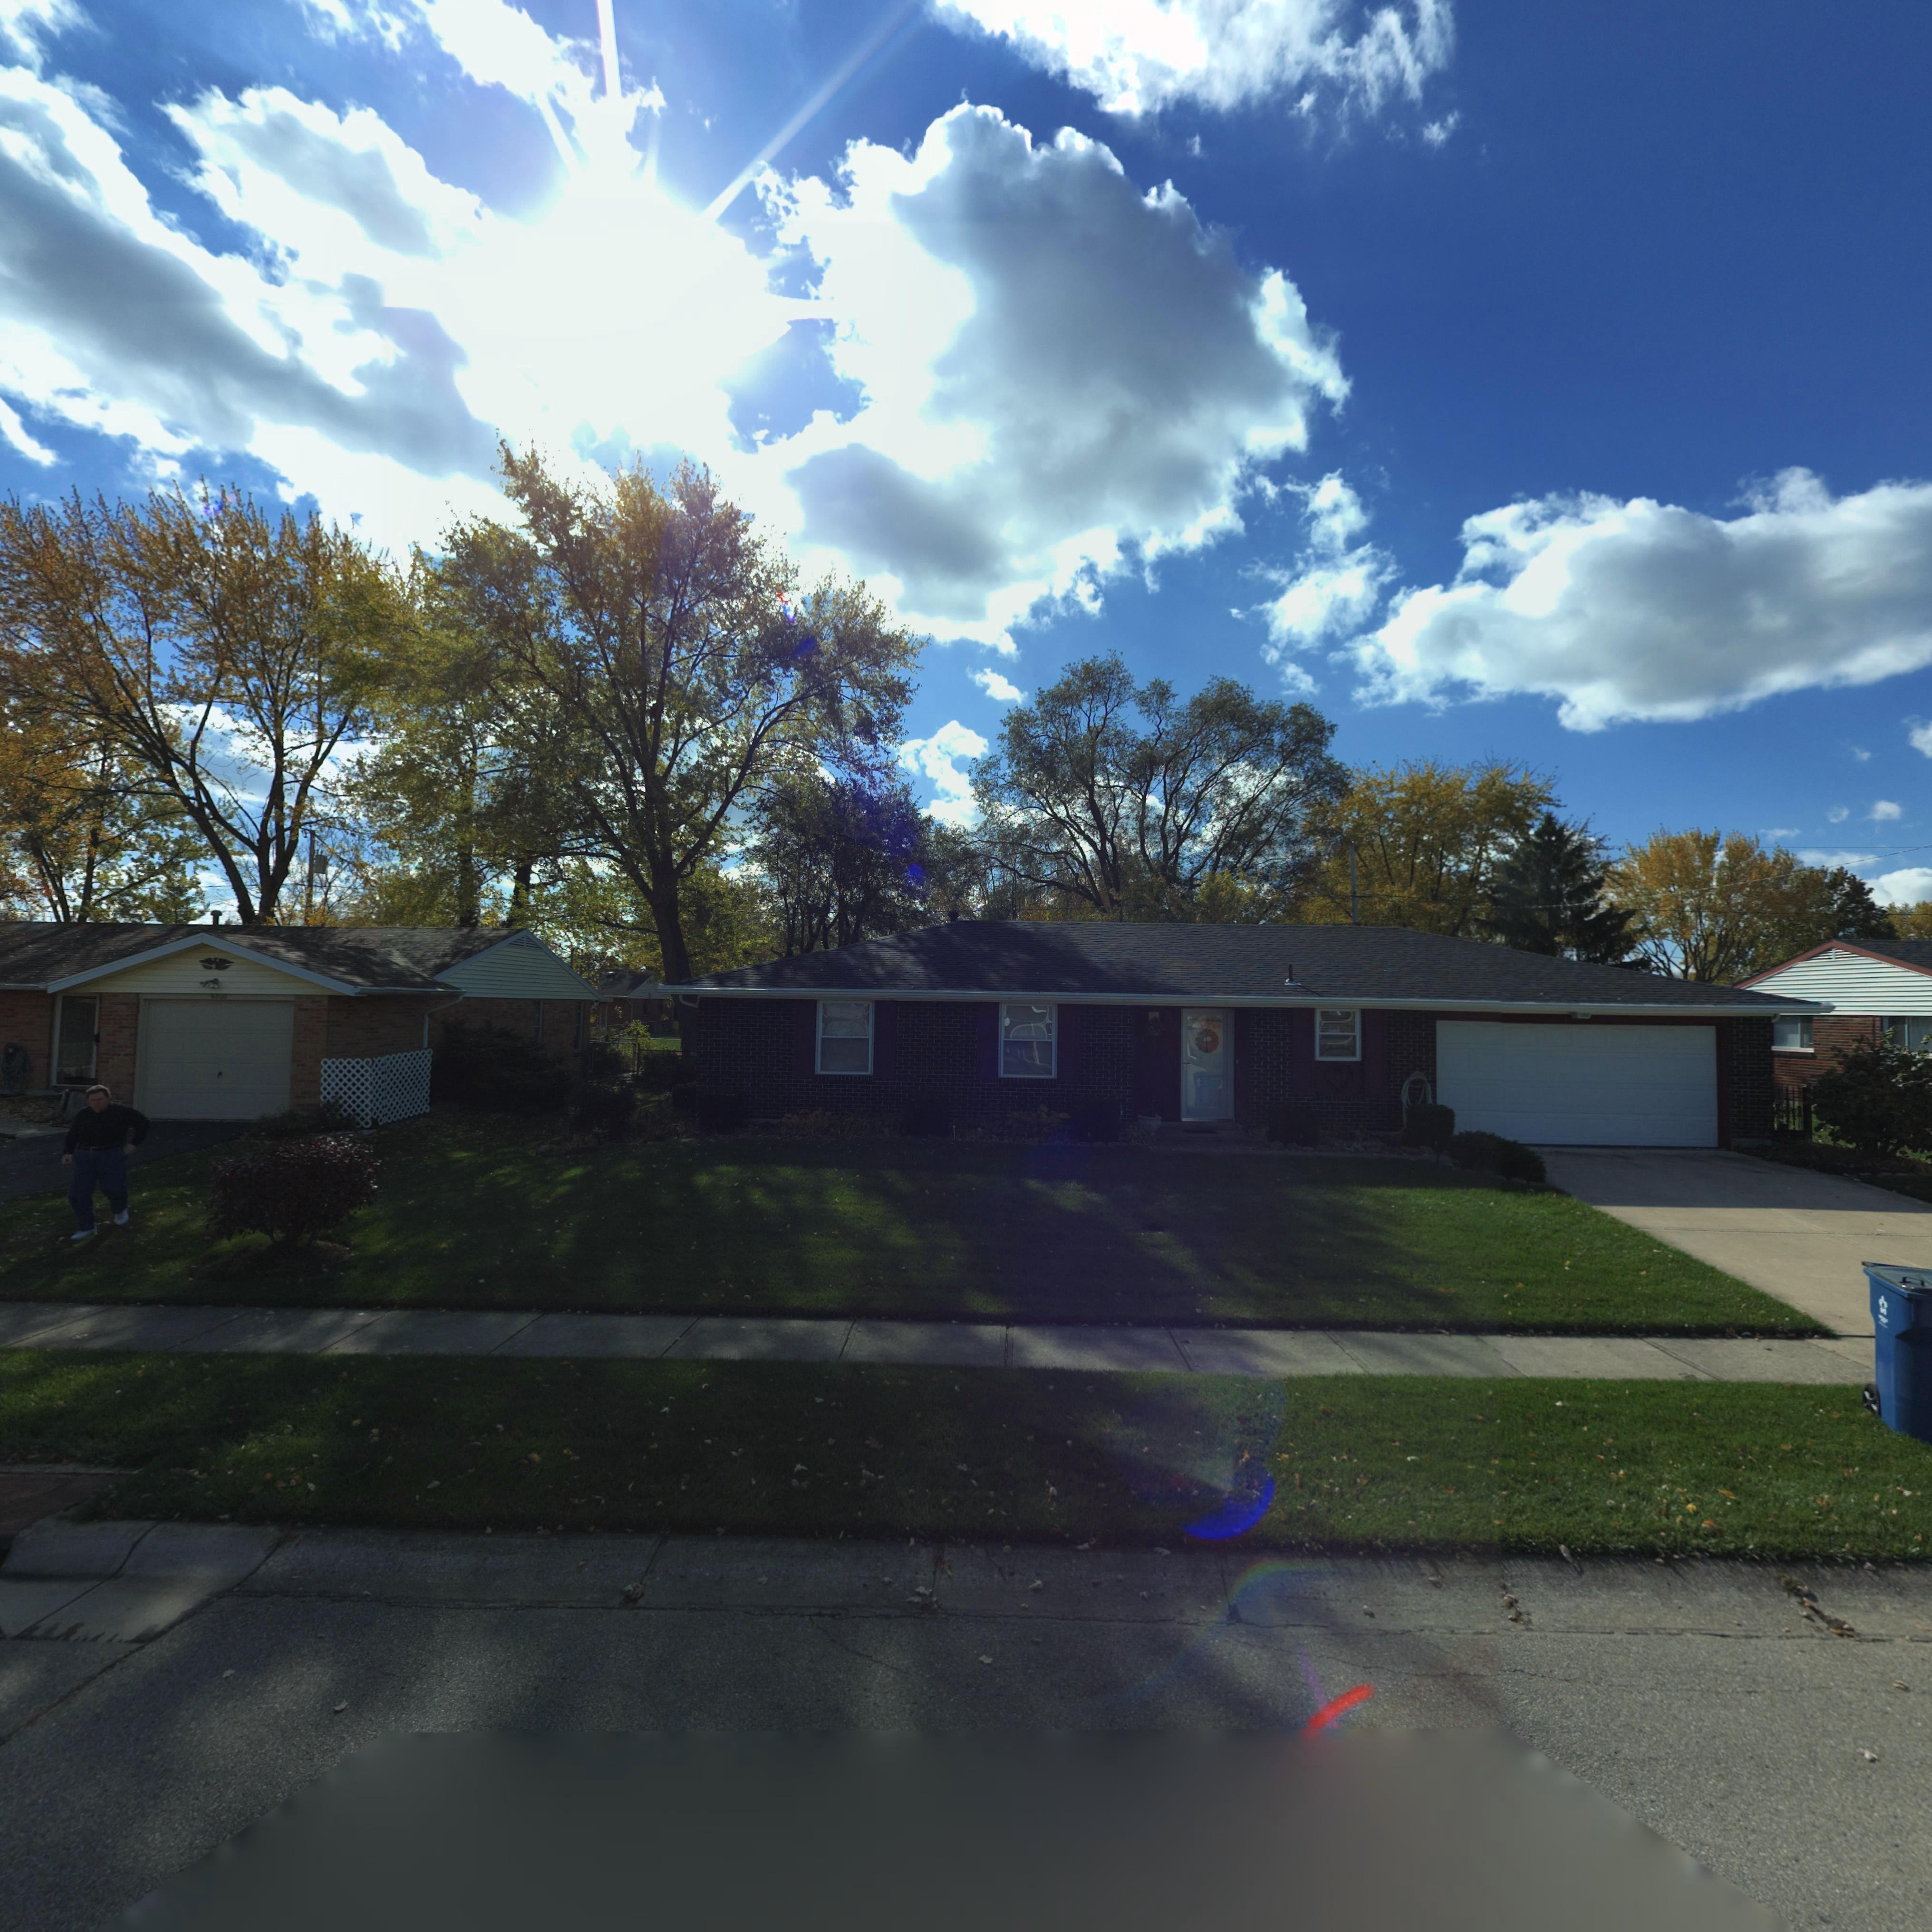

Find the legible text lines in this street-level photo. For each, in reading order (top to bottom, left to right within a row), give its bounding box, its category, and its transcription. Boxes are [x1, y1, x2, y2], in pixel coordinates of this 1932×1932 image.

[211, 993, 228, 999] StreetNumber: 6800